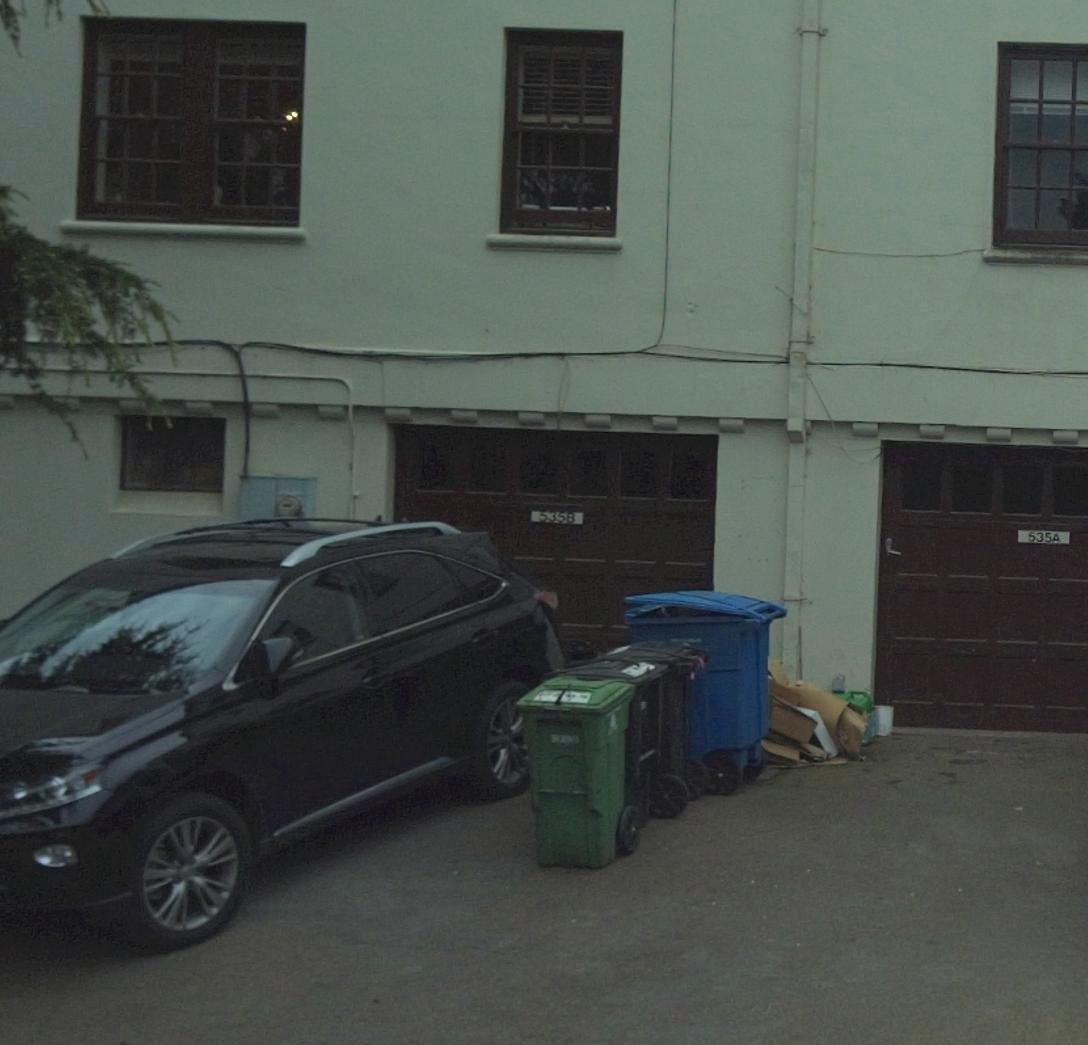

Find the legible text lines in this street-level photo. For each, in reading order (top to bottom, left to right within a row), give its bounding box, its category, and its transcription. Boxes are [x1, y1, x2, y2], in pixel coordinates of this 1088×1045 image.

[539, 508, 578, 525] StreetNumber: 535B
[1027, 532, 1062, 544] StreetNumber: 535A